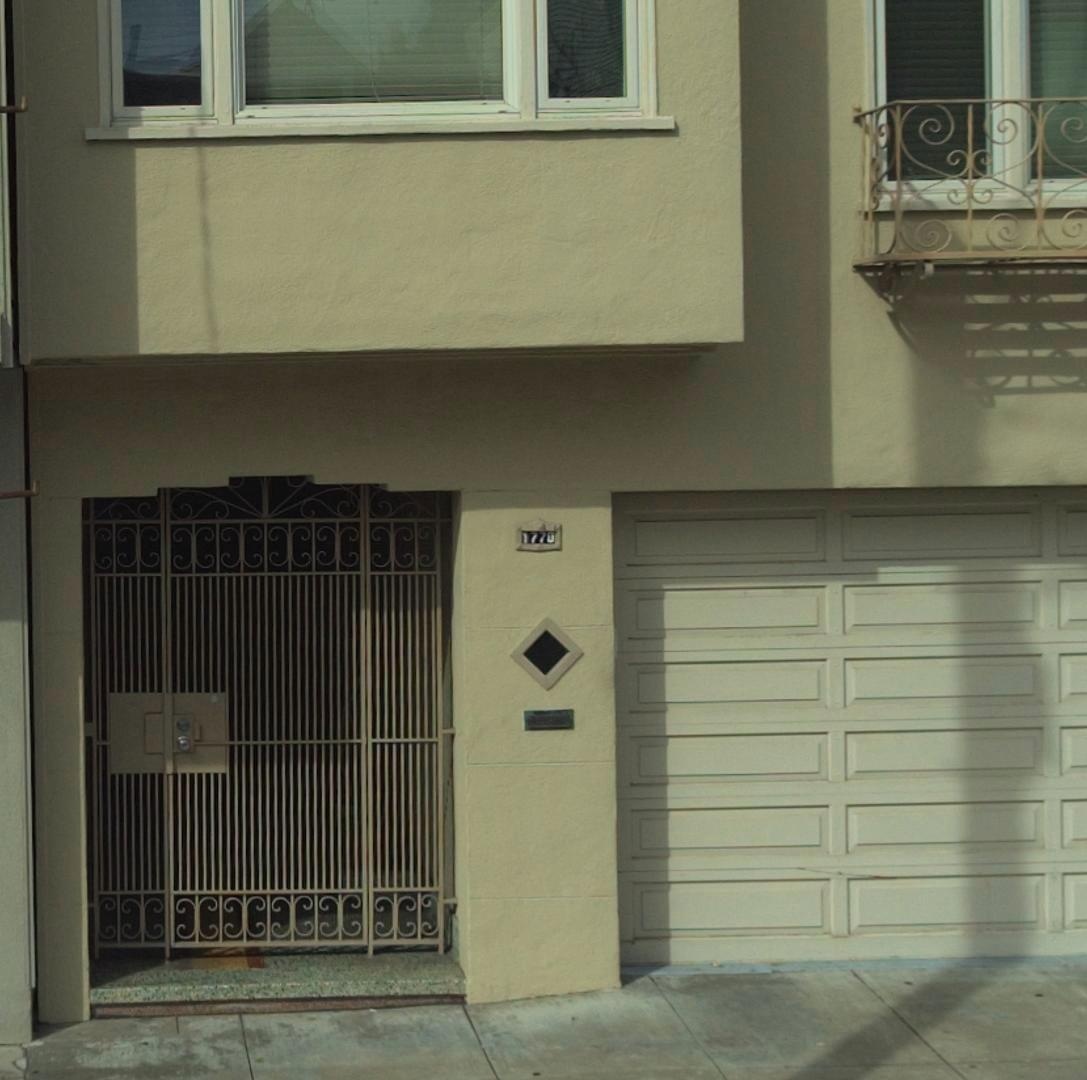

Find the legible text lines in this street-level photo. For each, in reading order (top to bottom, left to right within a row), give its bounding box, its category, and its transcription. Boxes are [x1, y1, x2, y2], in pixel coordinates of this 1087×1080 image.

[520, 528, 557, 547] StreetNumber: 1770